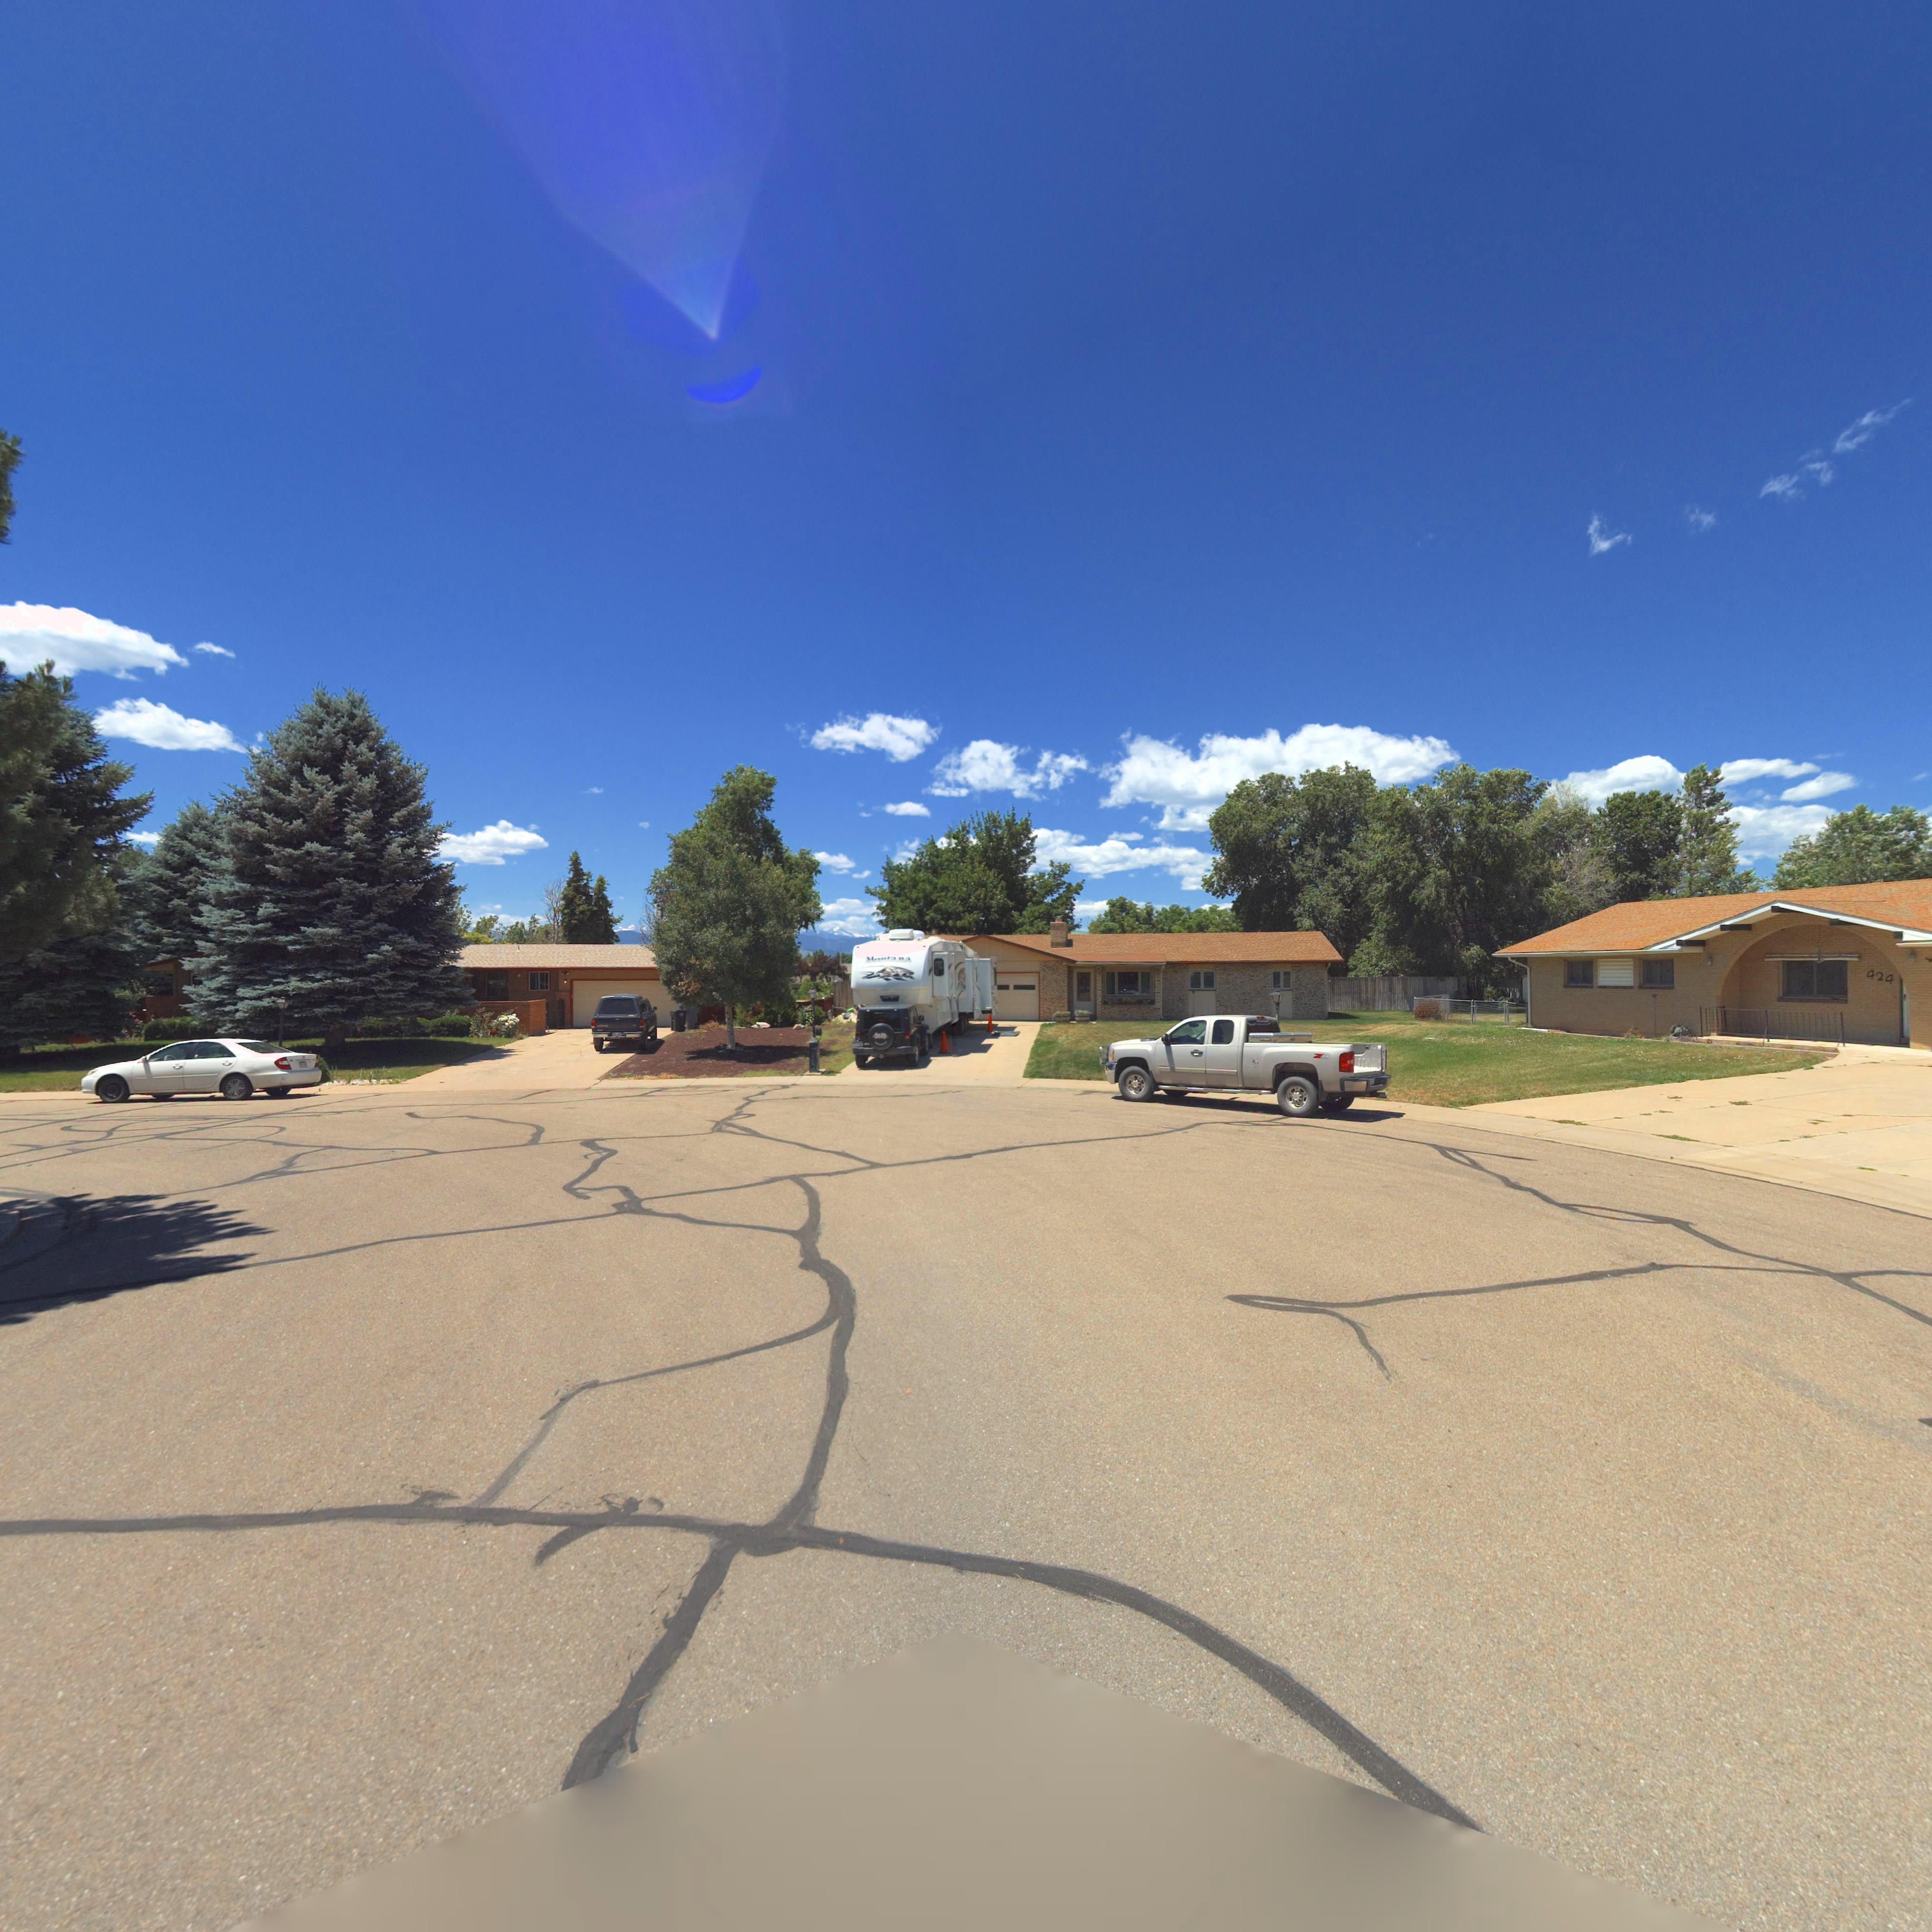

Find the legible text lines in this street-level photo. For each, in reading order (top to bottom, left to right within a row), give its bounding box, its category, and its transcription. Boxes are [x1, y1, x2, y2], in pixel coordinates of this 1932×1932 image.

[1865, 969, 1895, 985] StreetNumber: 424